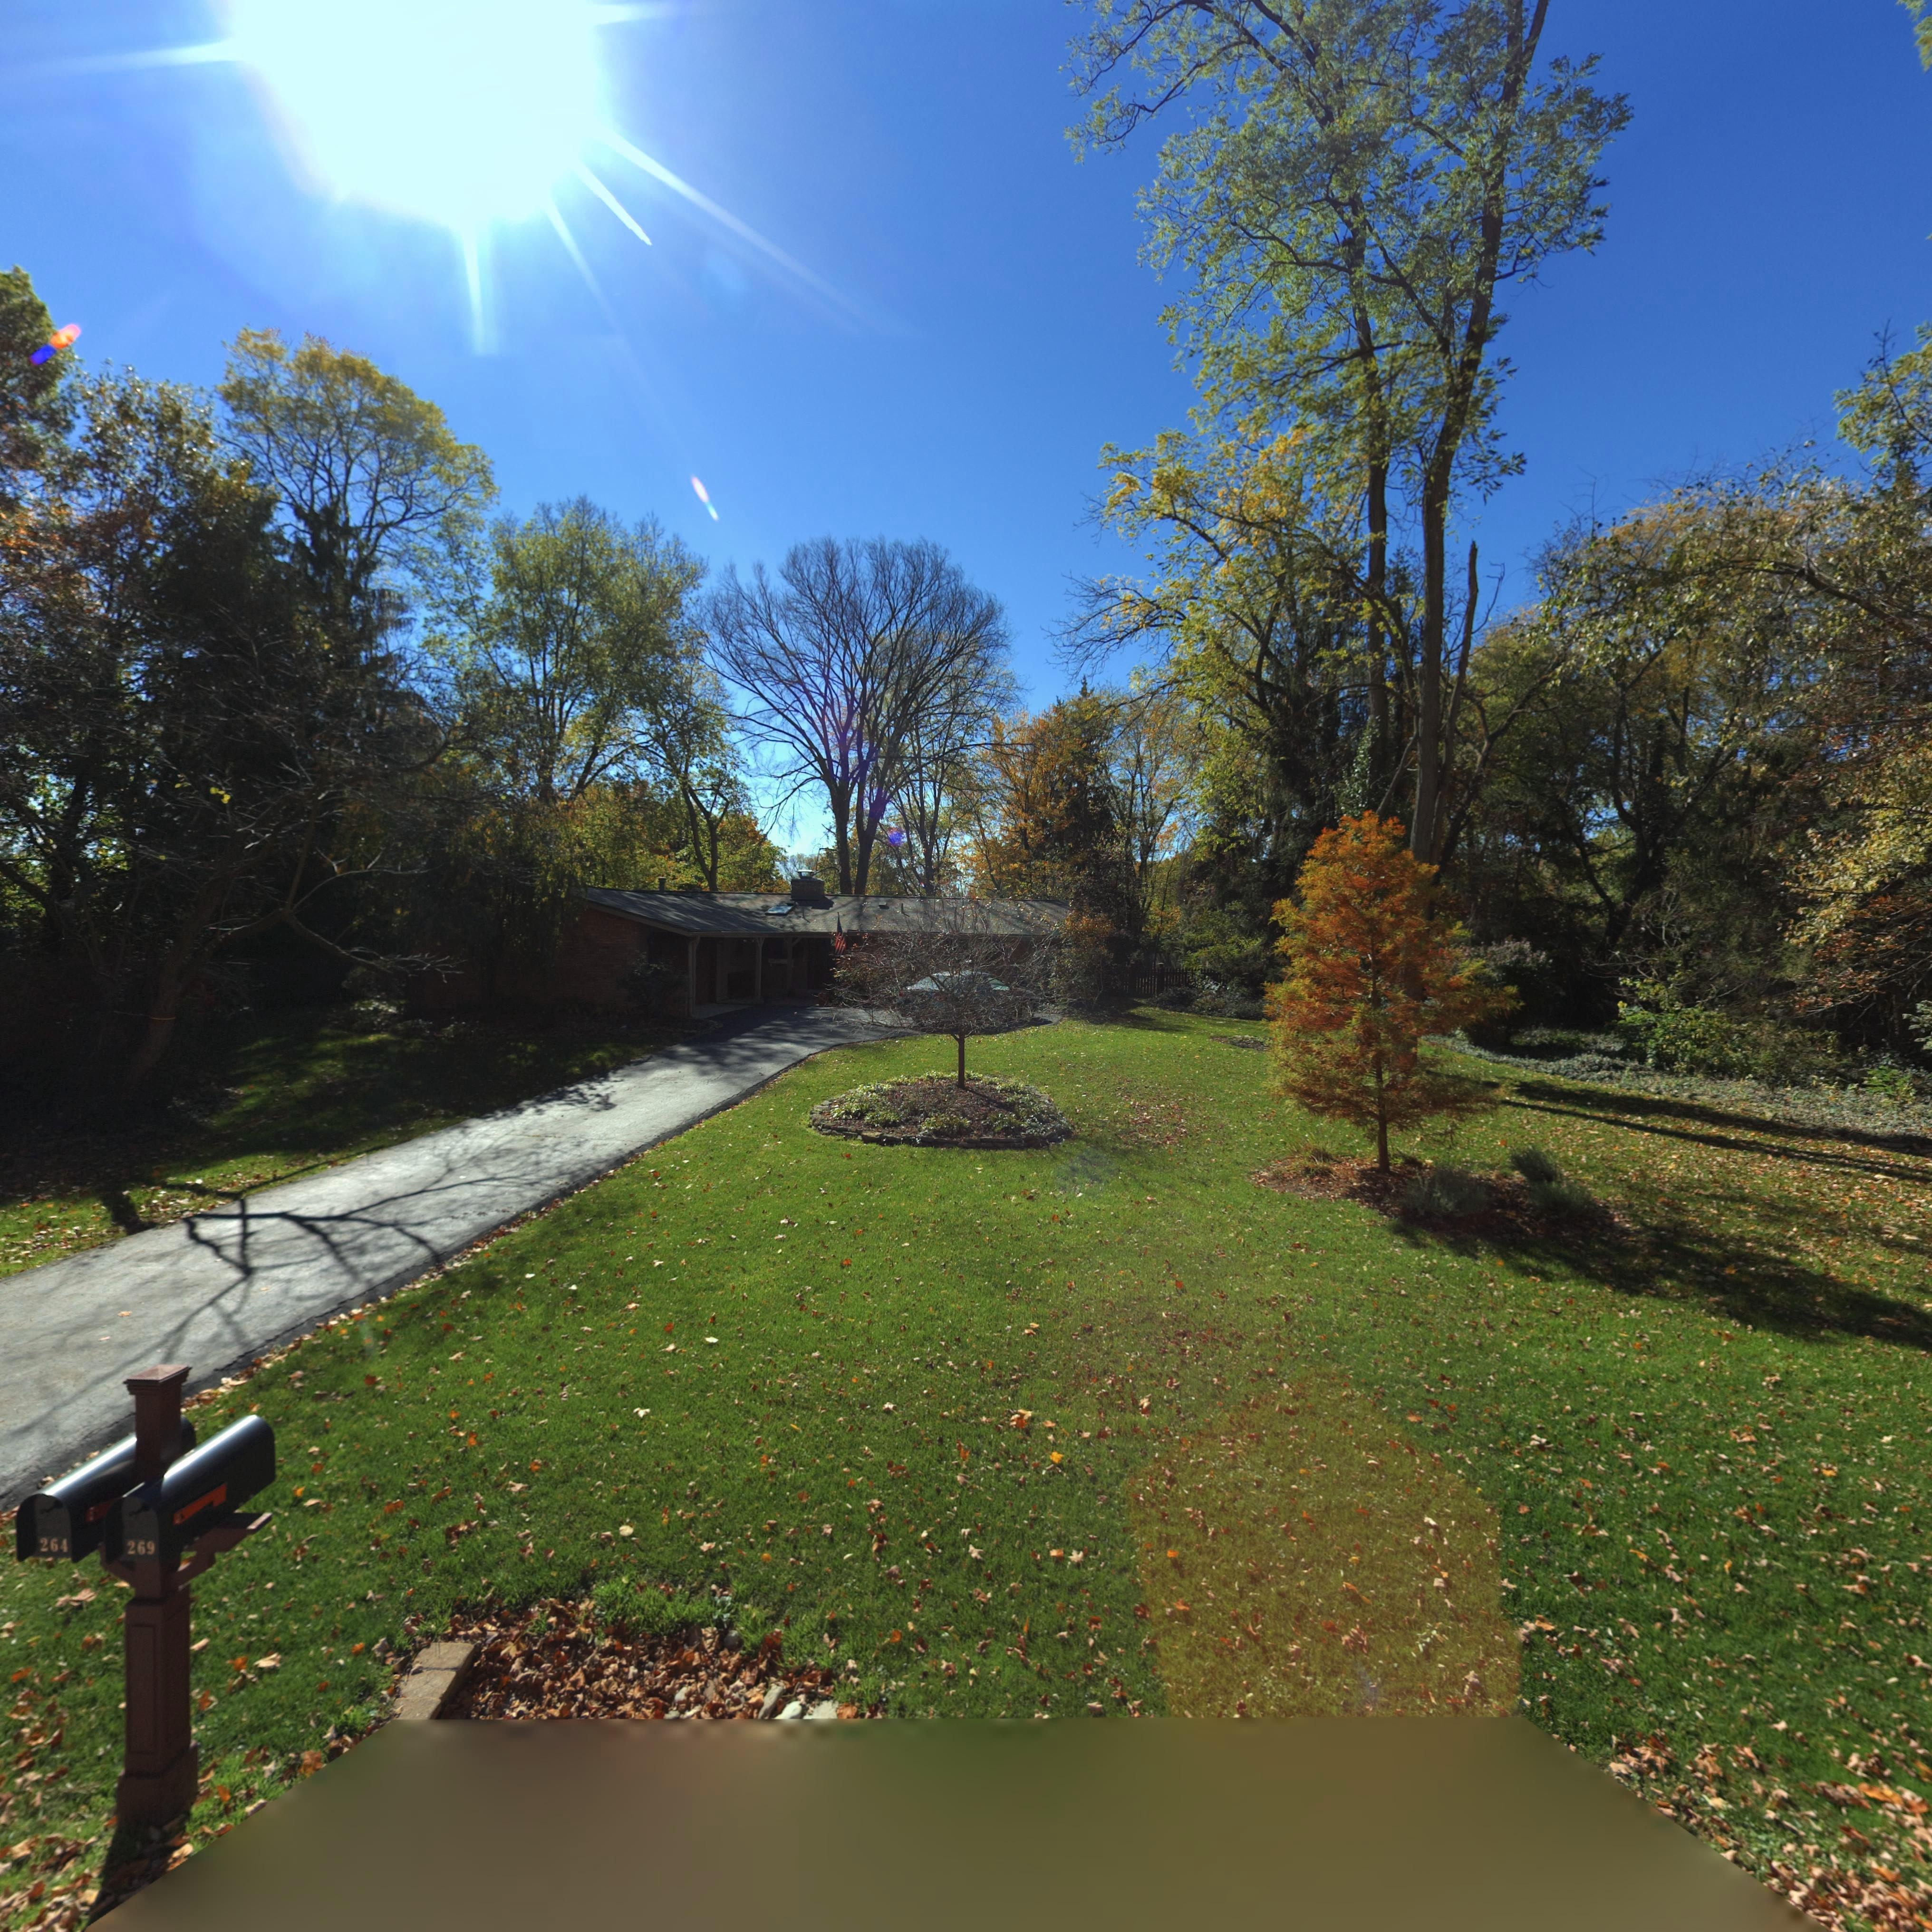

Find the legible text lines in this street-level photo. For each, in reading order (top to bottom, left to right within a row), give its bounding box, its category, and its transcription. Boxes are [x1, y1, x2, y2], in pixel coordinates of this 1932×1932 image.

[39, 1536, 69, 1554] StreetNumber: 264
[126, 1539, 156, 1556] StreetNumber: 269